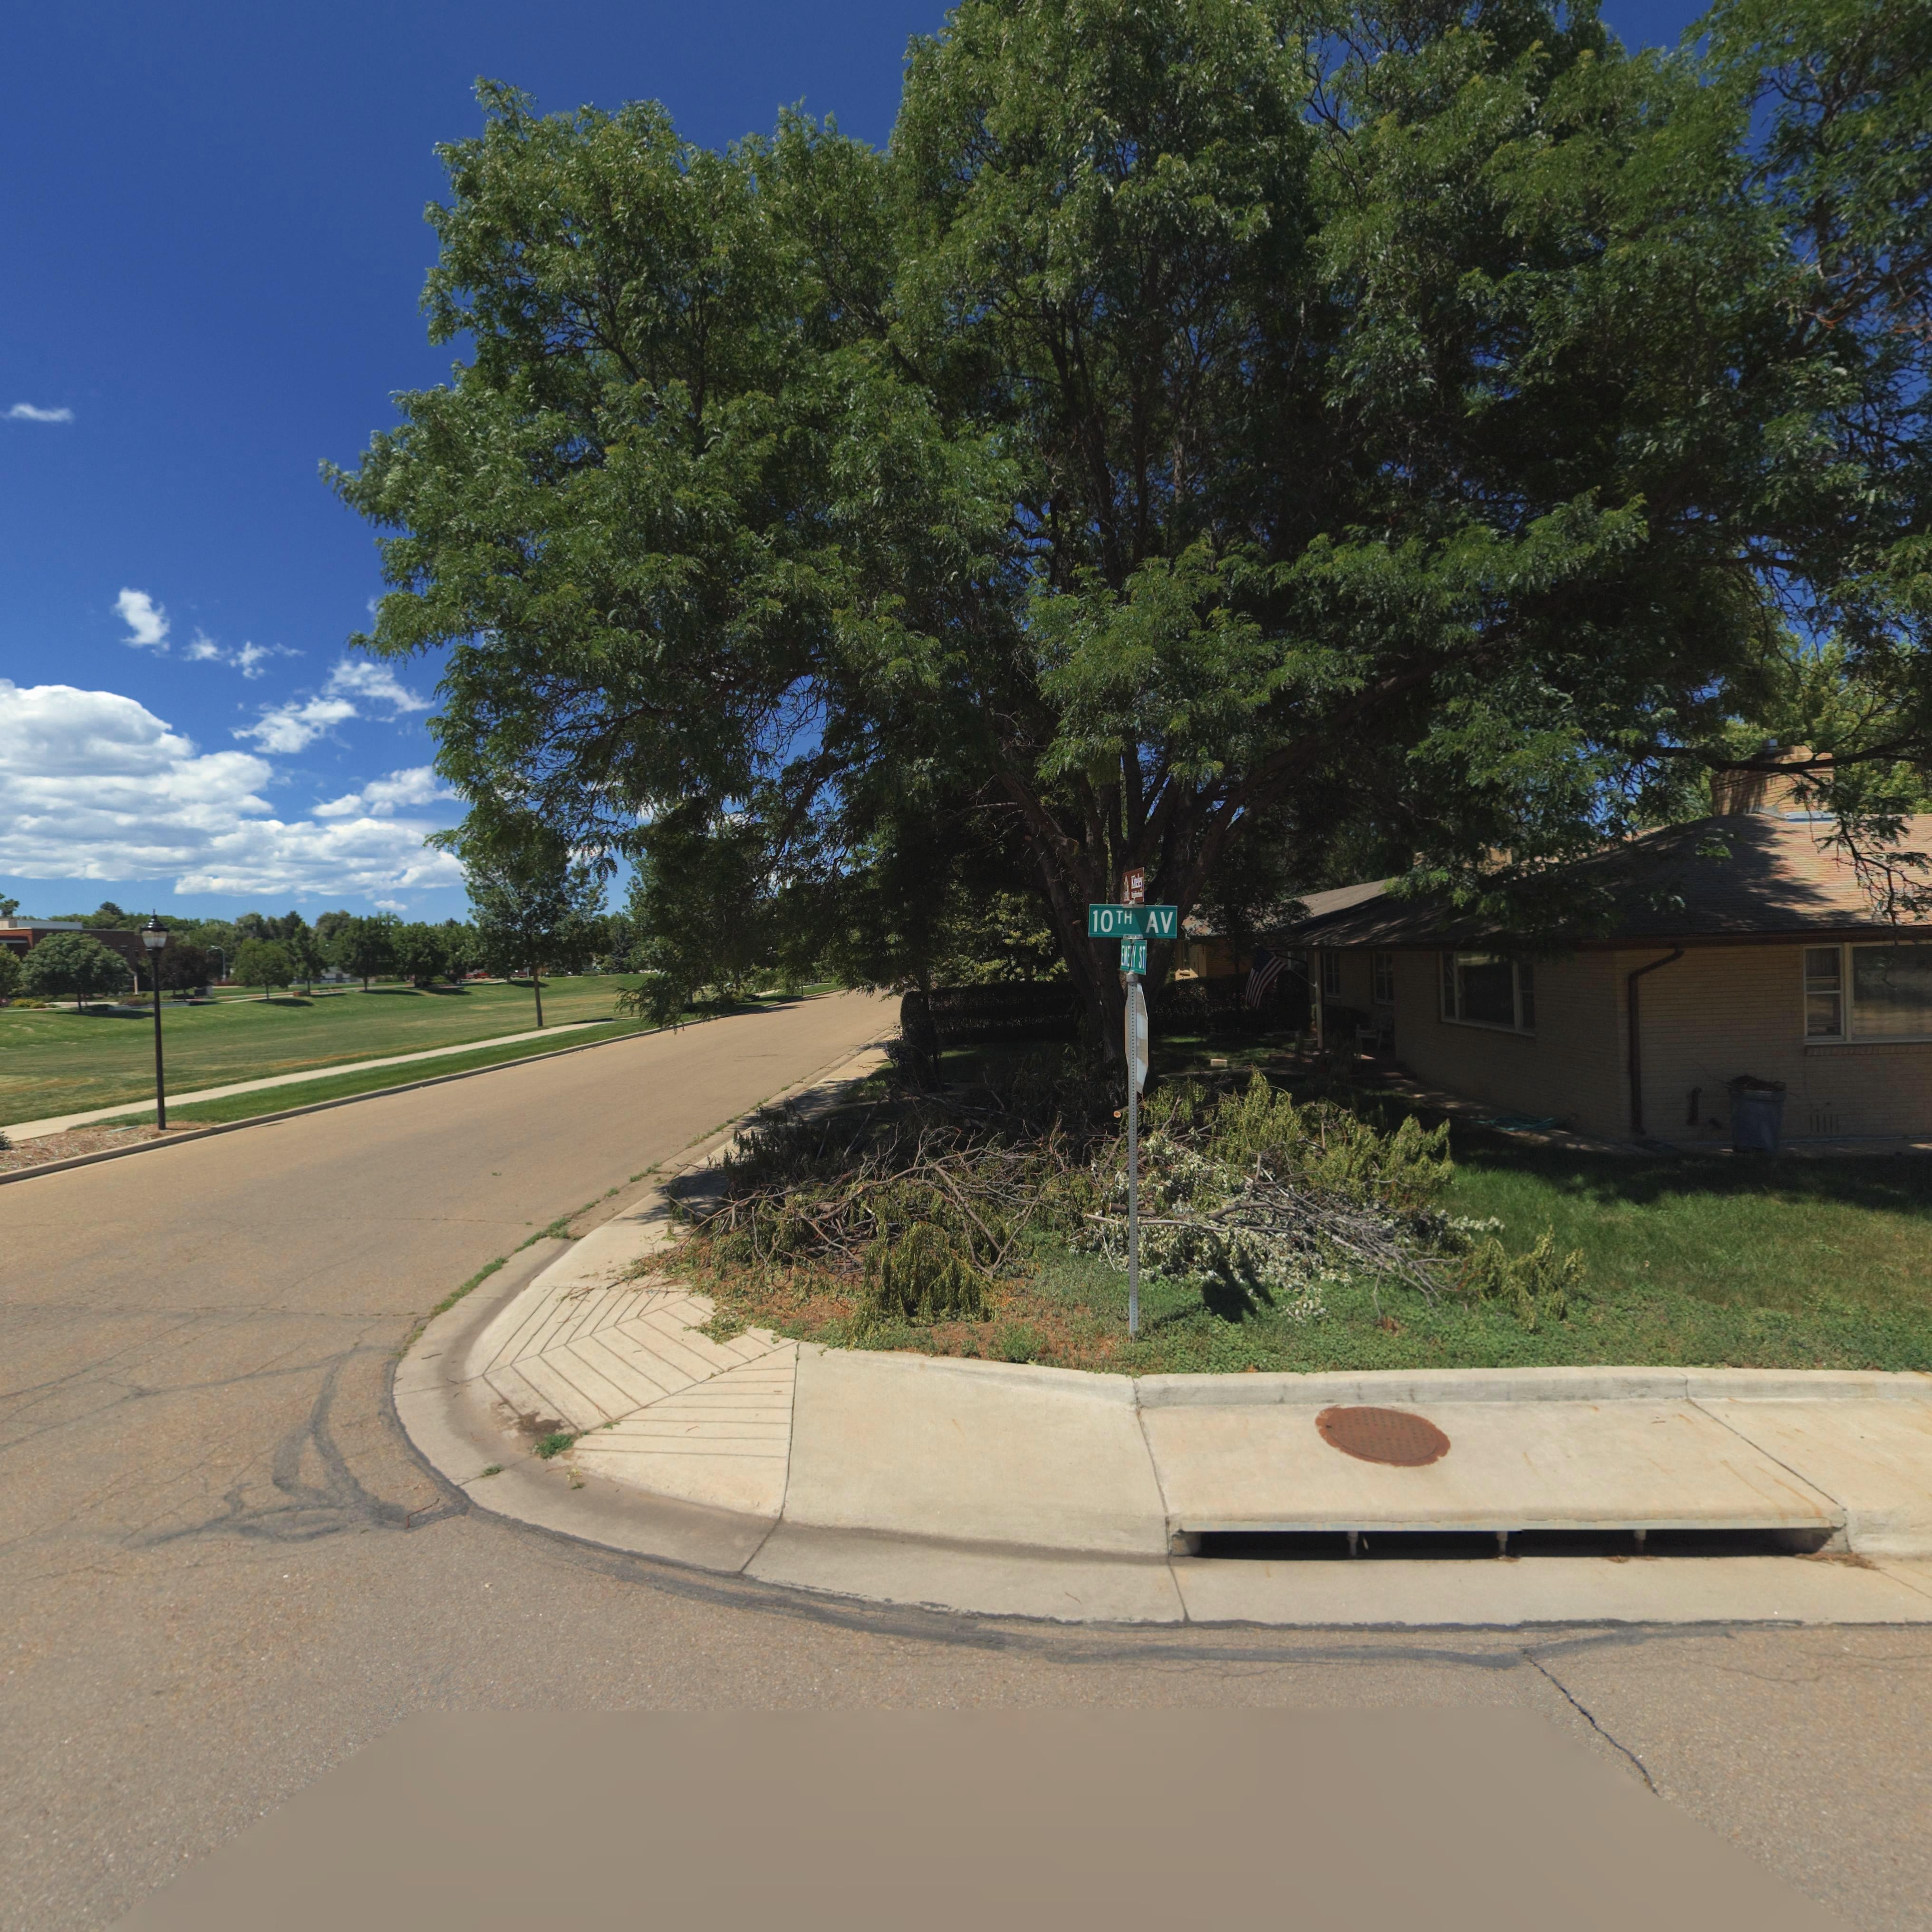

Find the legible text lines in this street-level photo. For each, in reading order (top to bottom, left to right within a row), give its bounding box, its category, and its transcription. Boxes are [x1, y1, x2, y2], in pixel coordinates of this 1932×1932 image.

[1092, 909, 1174, 933] StreetName: 10TH AV
[1121, 945, 1145, 970] StreetName: EMERY ST